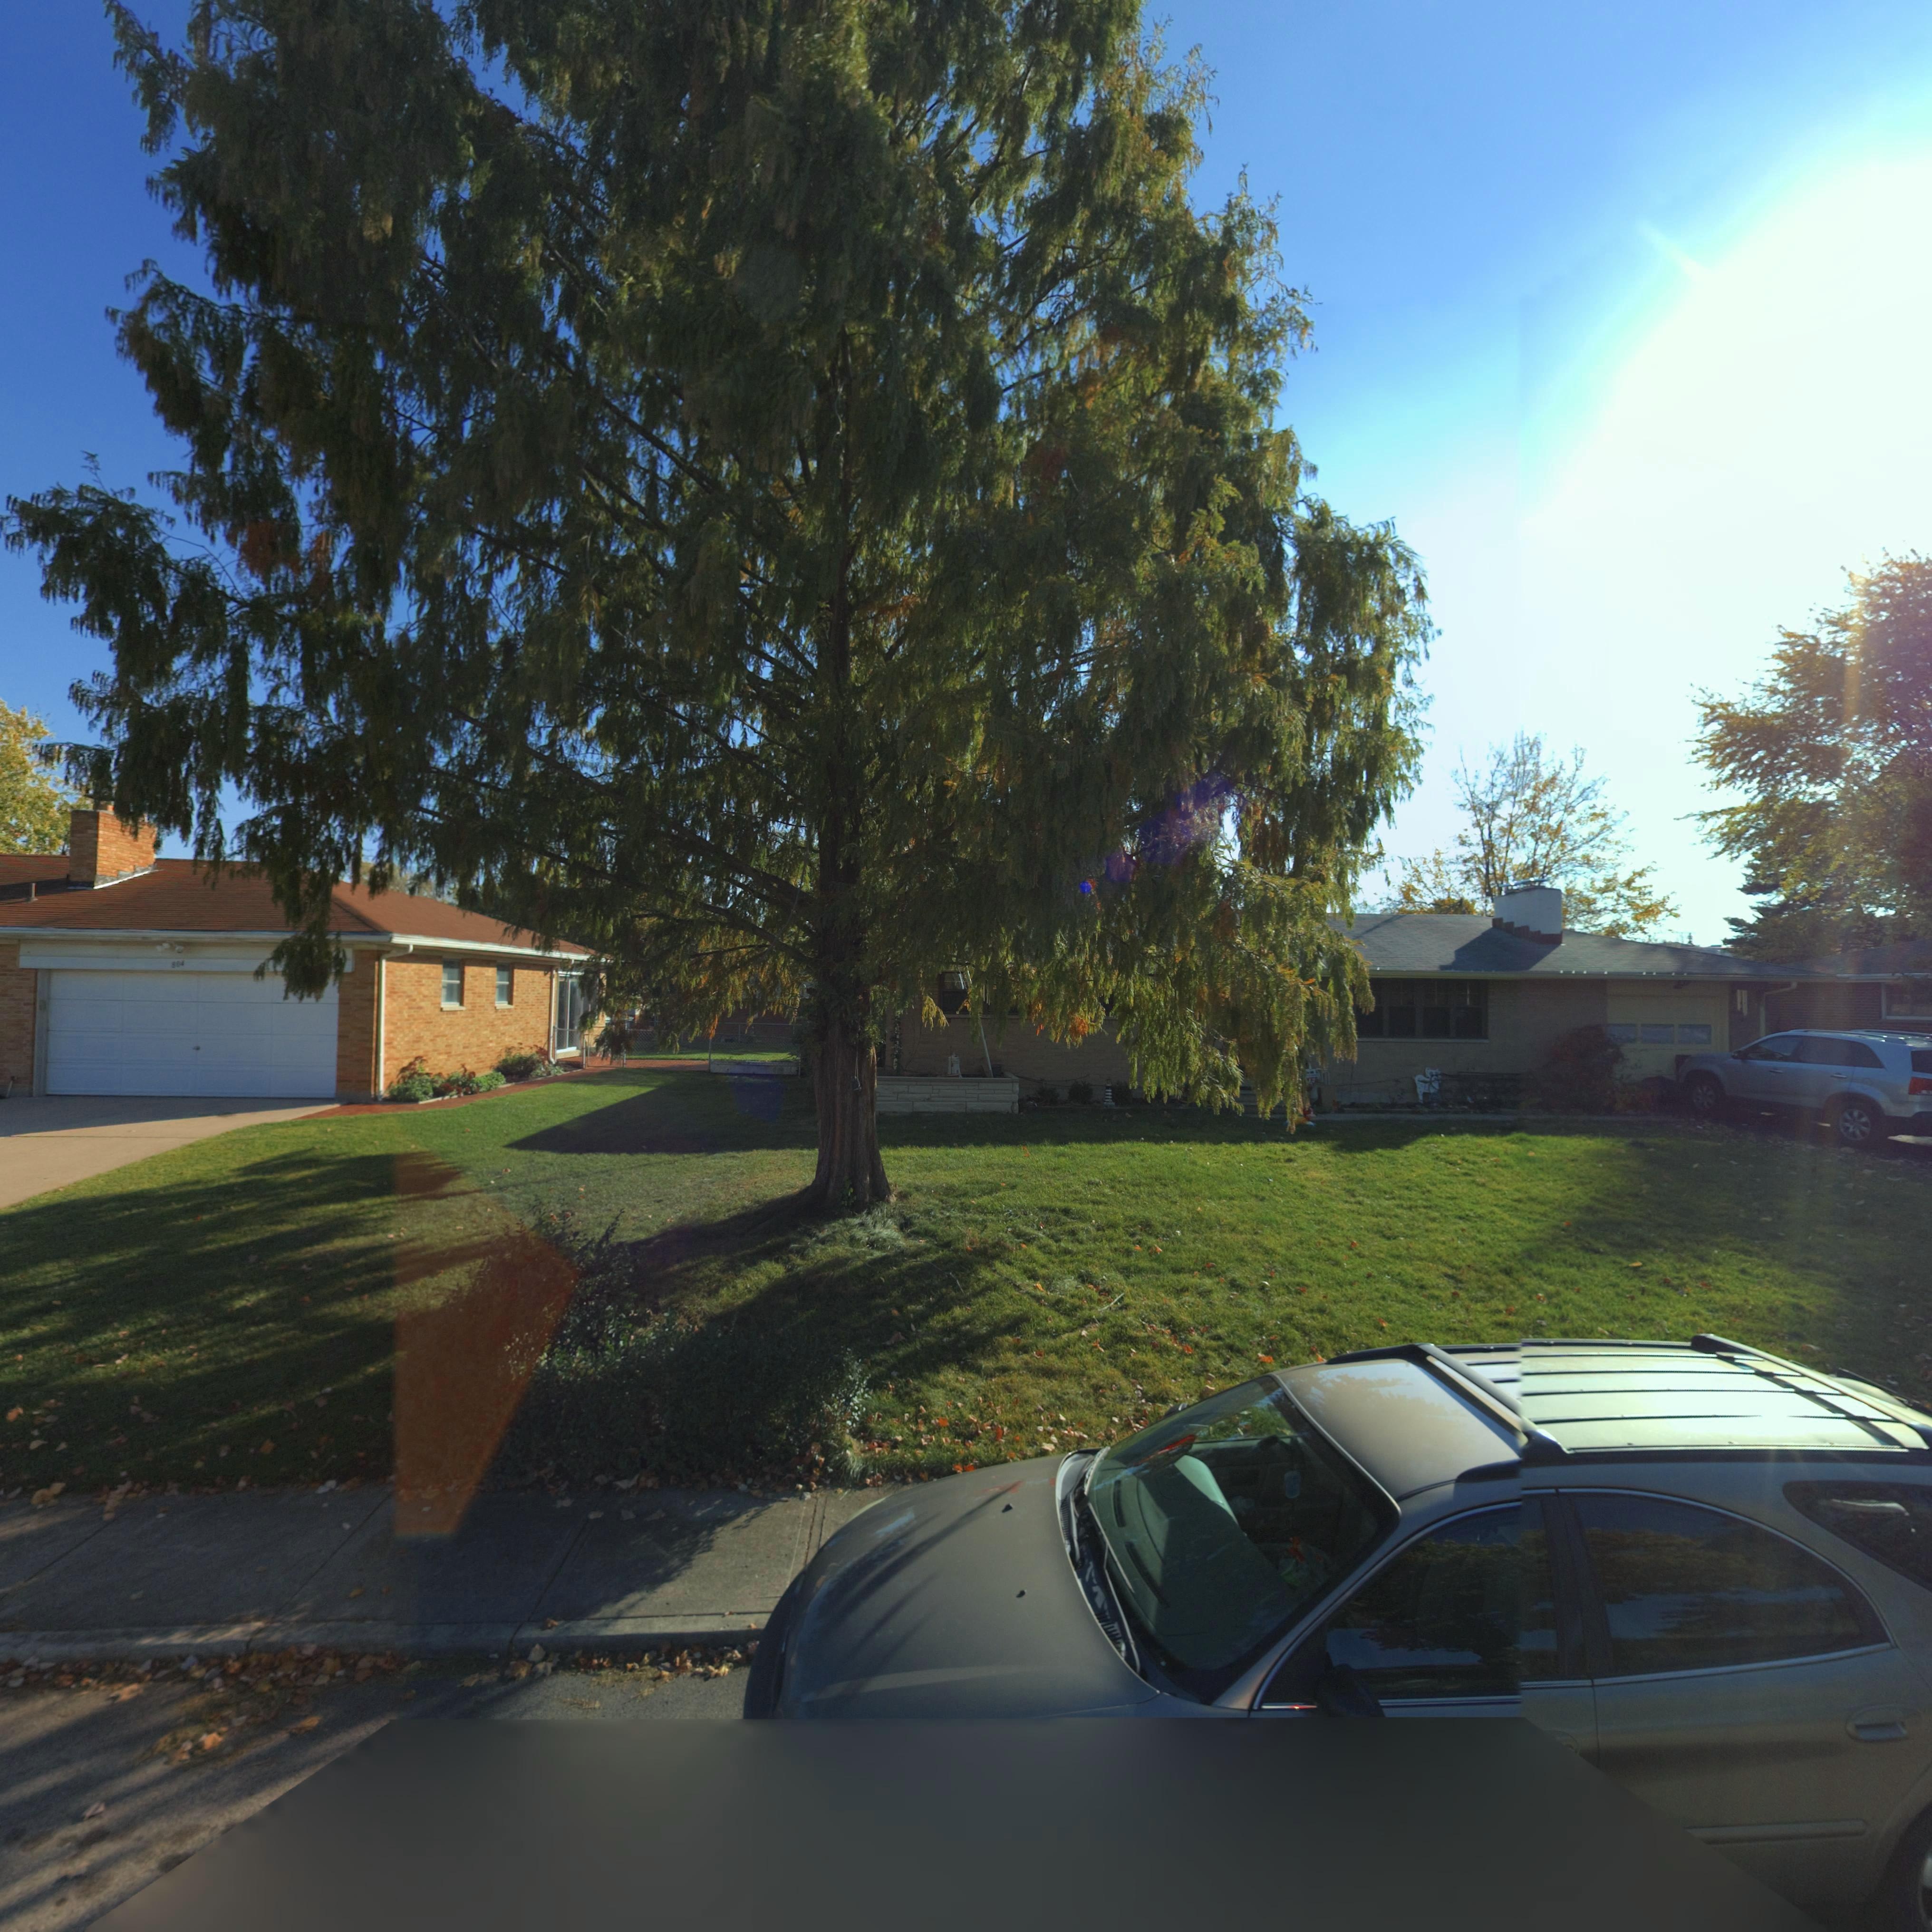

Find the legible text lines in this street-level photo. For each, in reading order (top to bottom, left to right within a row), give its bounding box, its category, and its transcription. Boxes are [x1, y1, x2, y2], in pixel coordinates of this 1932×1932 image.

[171, 959, 185, 968] StreetNumber: 804